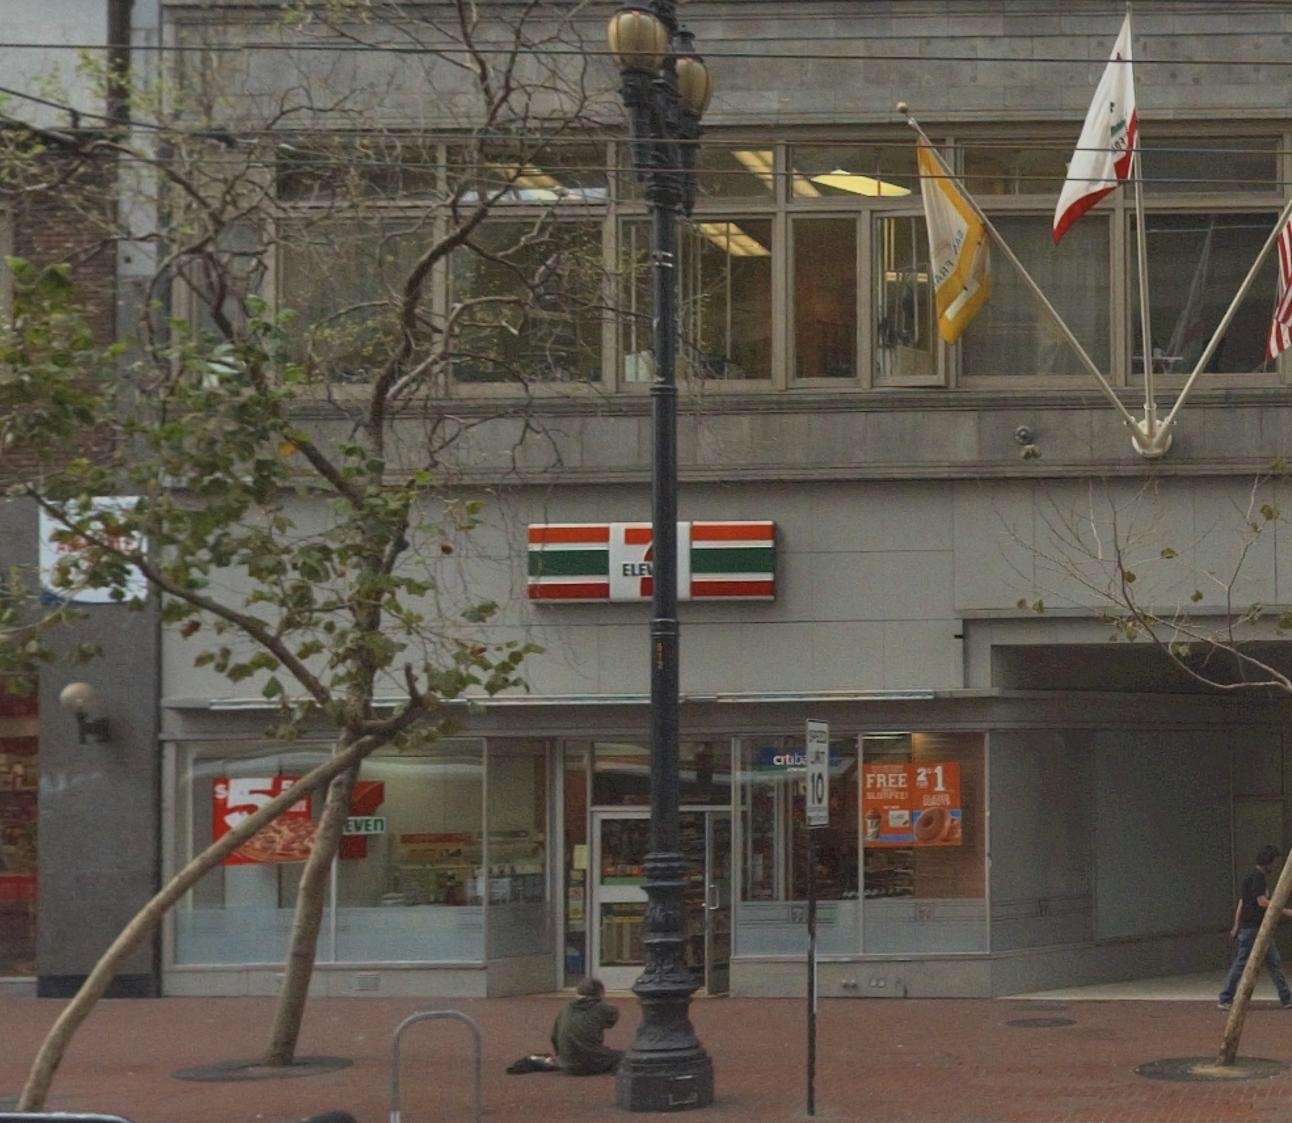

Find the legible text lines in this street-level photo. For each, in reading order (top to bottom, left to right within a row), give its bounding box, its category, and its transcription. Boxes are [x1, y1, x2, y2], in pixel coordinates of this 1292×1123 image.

[932, 261, 954, 289] None: A*
[620, 560, 650, 579] BusinessName: ELE
[806, 726, 830, 747] None: SPEED
[768, 748, 805, 769] BusinessName: citib
[807, 769, 828, 808] None: 10
[863, 771, 911, 790] None: FREE
[914, 765, 930, 783] None: 2
[932, 763, 947, 793] None: 1
[343, 816, 387, 835] BusinessName: EVEn
[789, 905, 806, 926] BusinessName: 7
[918, 903, 934, 922] BusinessName: 7